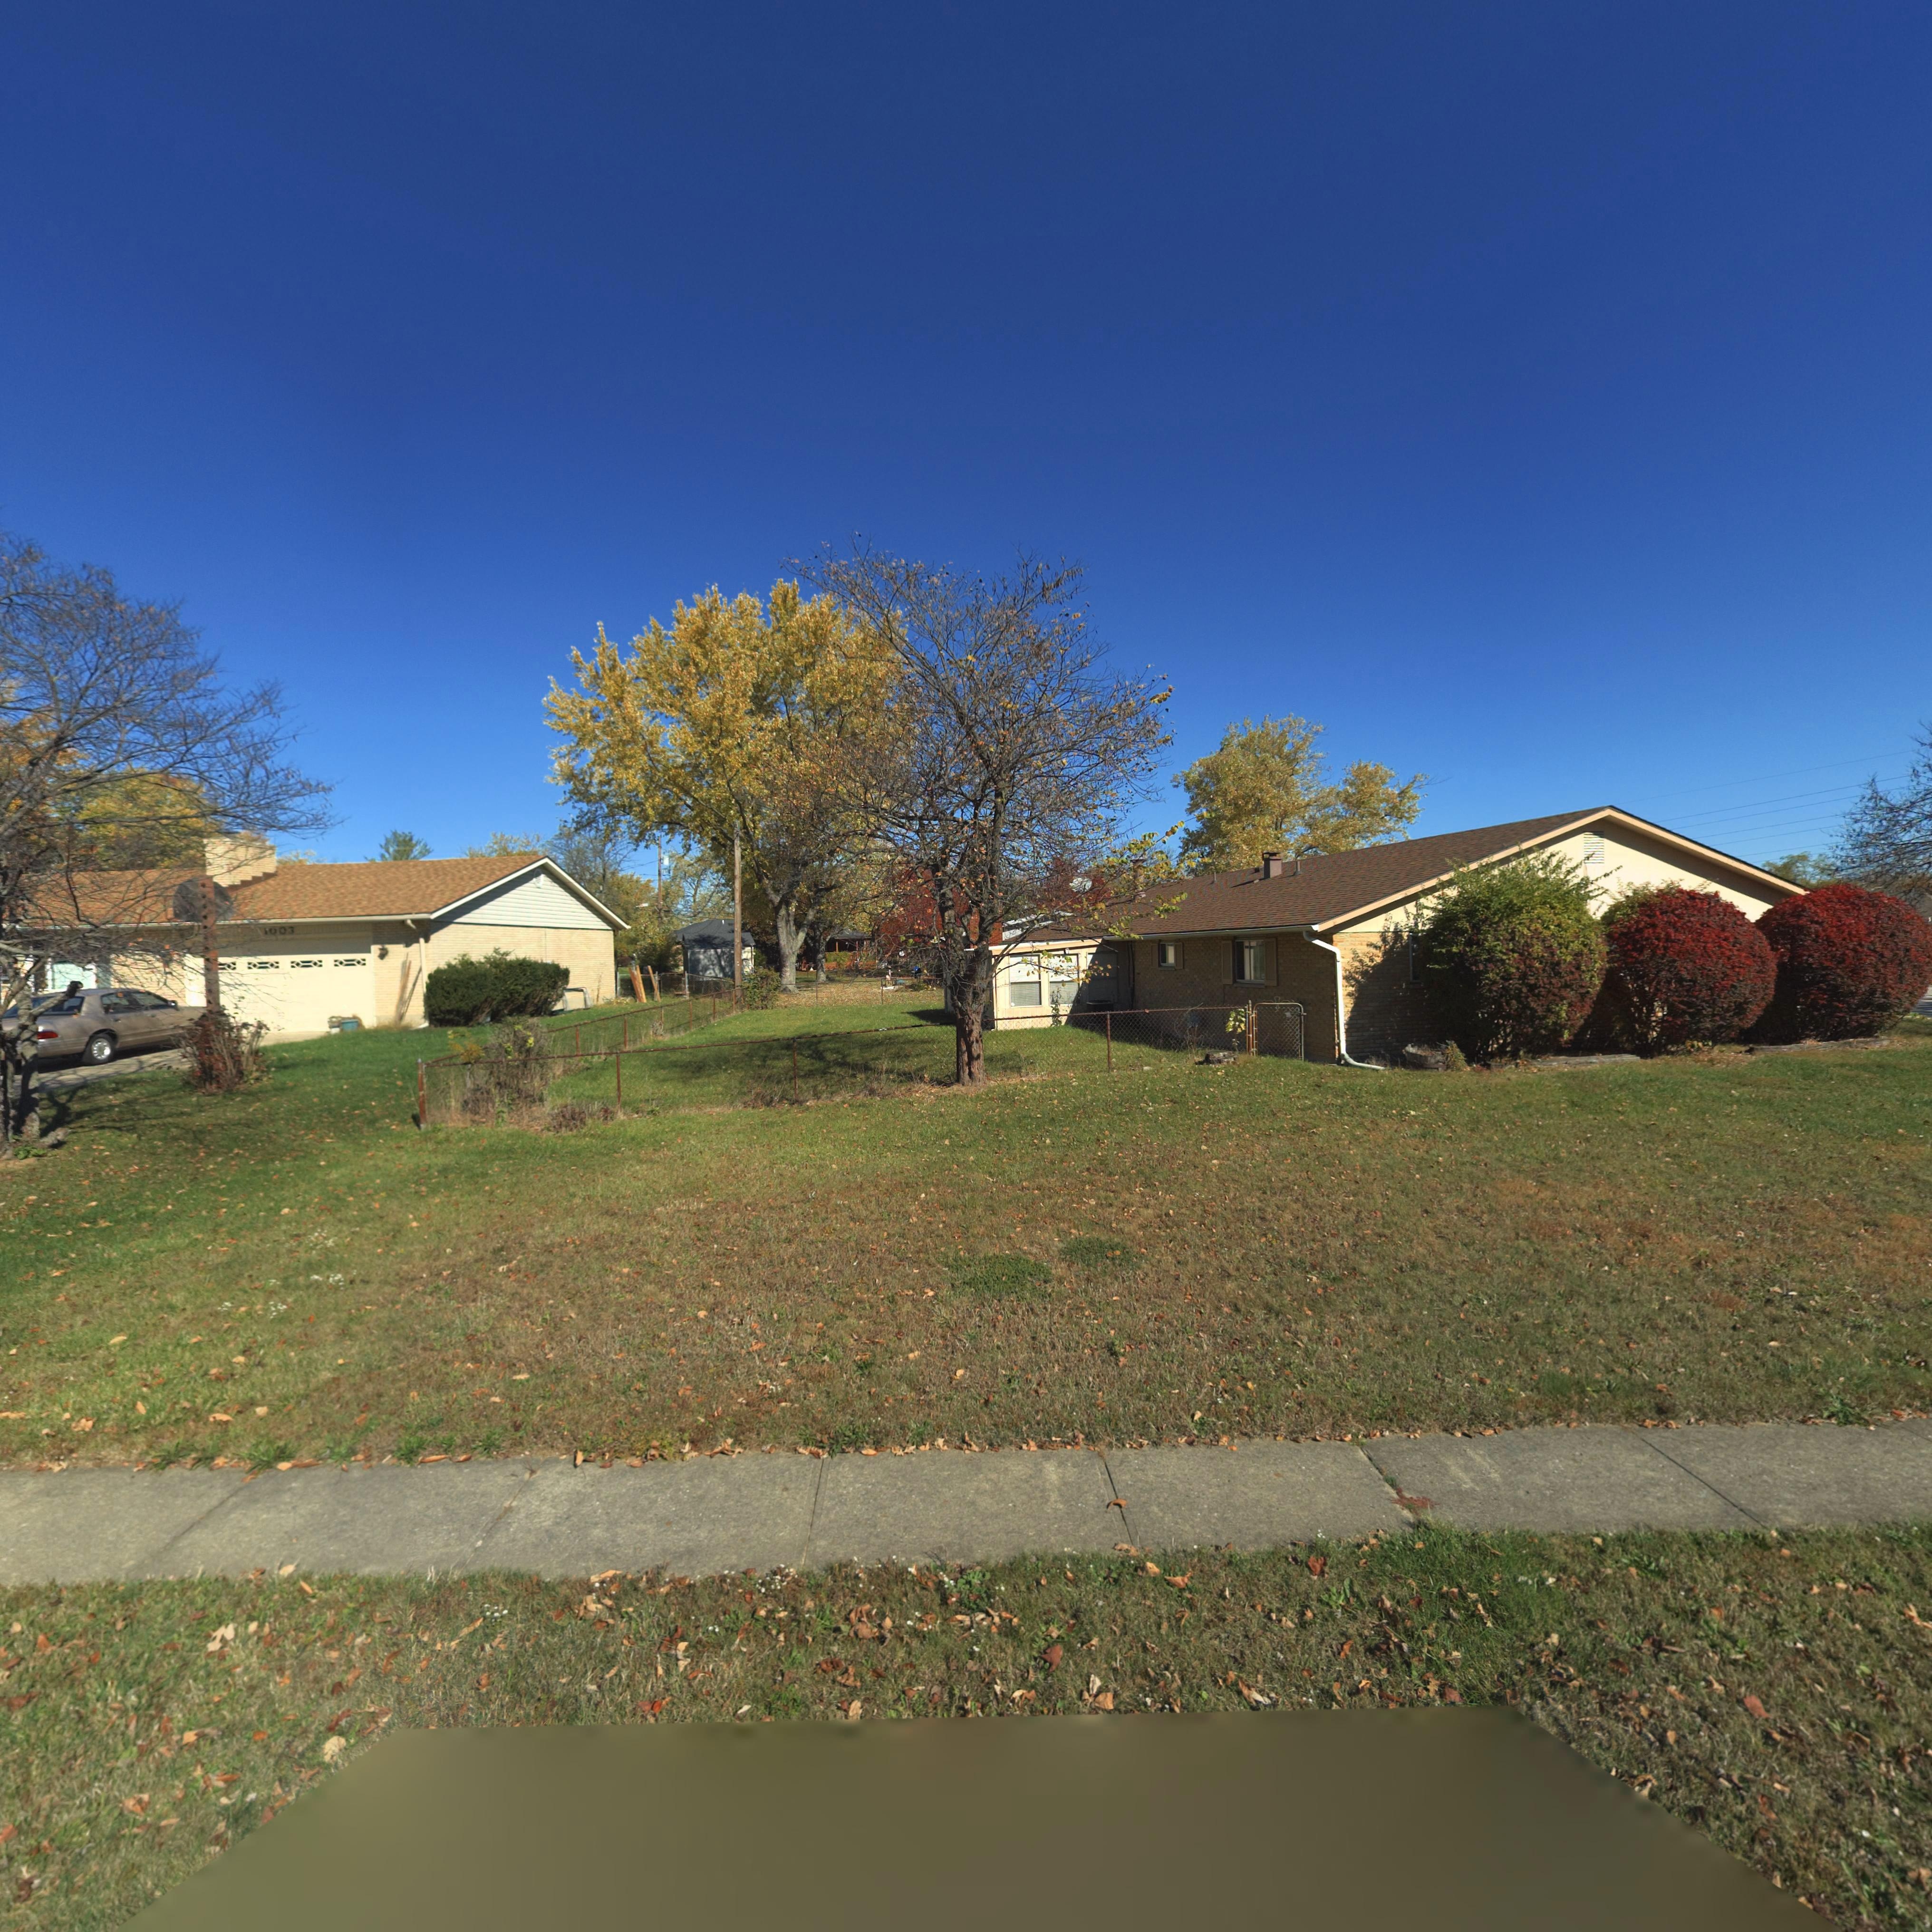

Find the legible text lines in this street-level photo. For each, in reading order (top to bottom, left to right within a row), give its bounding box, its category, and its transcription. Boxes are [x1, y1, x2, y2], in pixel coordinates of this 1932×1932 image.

[263, 925, 295, 935] StreetNumber: 1003